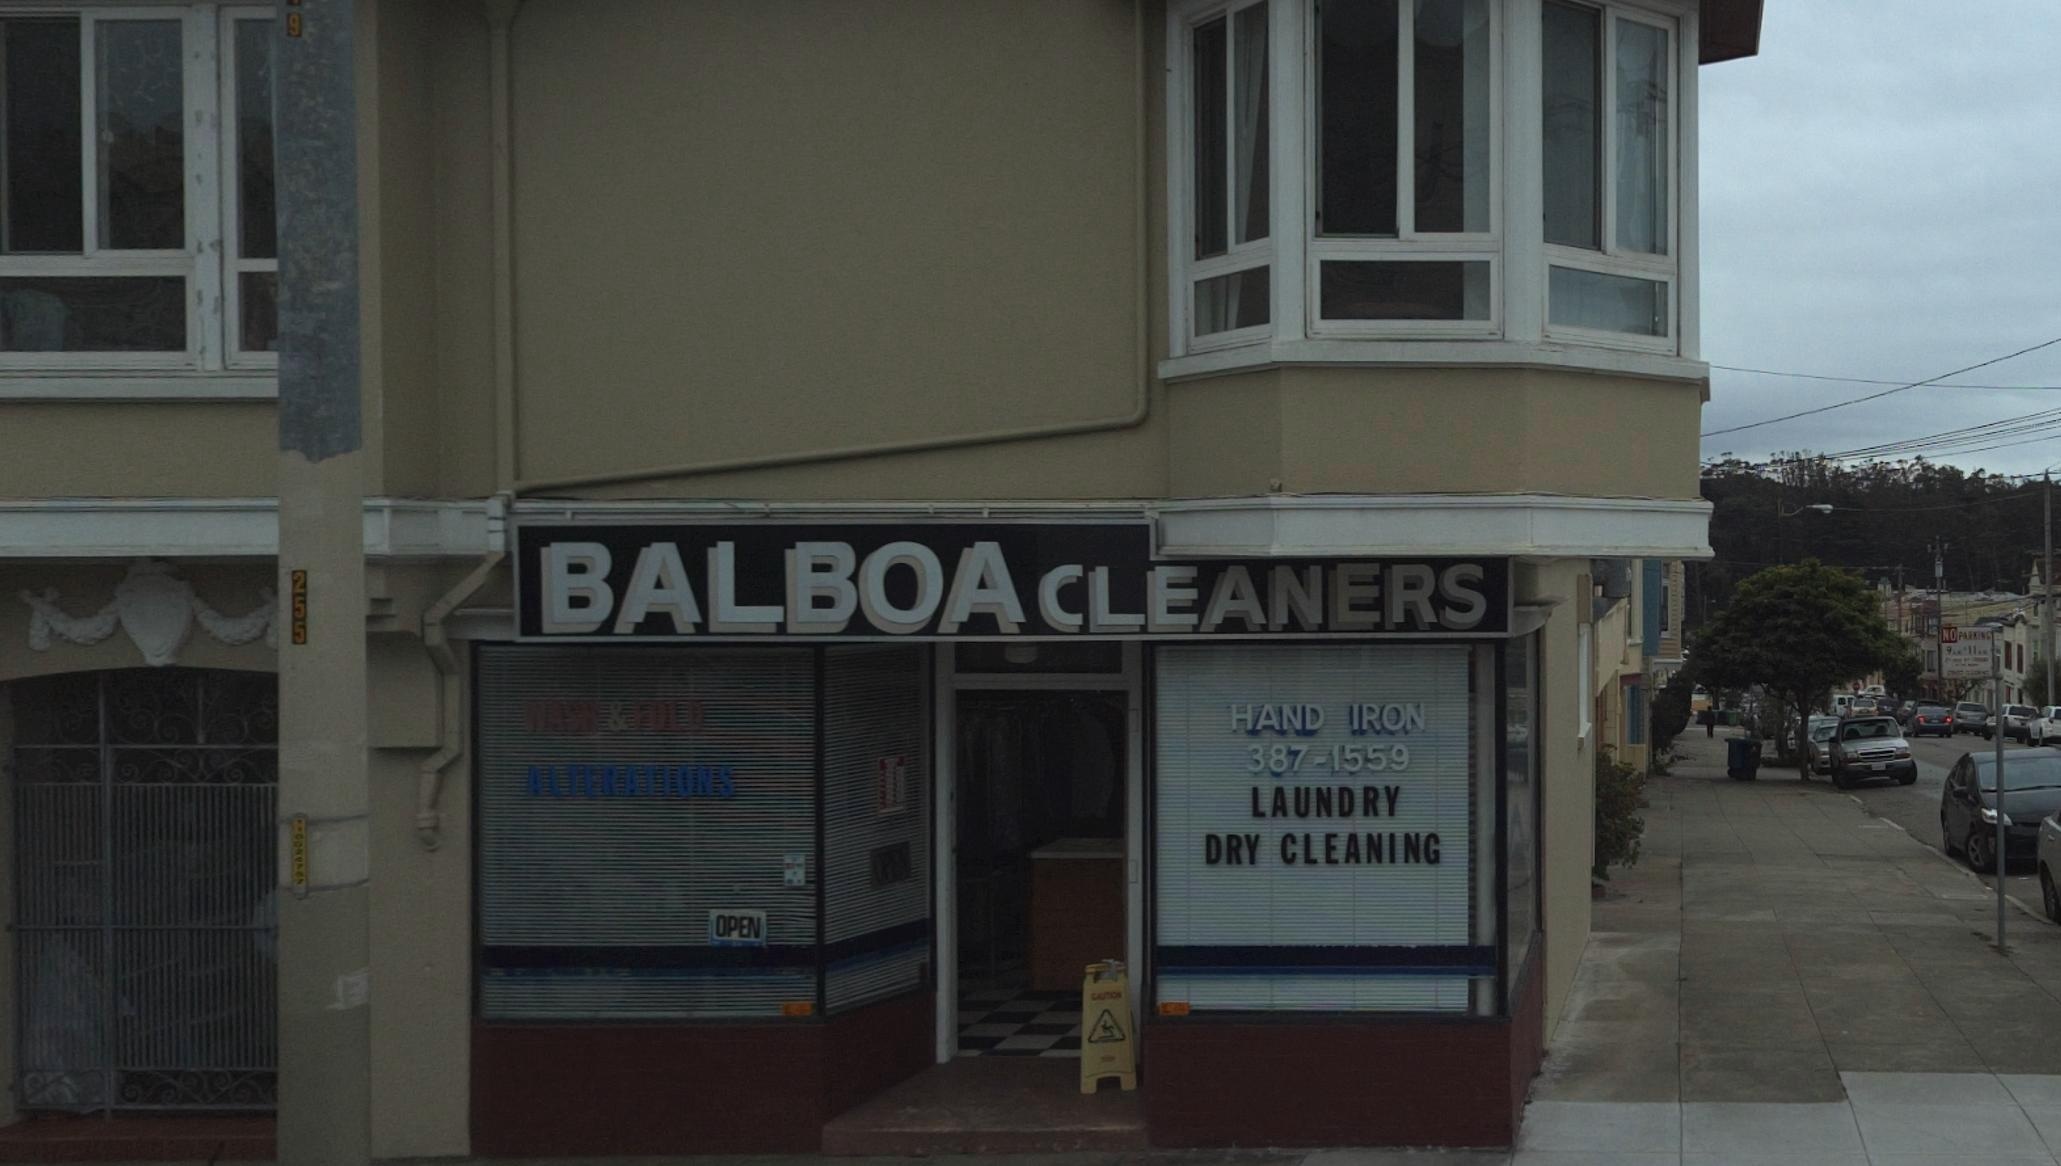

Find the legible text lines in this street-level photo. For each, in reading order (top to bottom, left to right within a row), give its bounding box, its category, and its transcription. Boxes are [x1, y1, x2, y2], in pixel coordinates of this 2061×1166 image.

[286, 10, 302, 39] None: 9
[546, 537, 1491, 629] BusinessName: BALBOA CLEANERS
[291, 568, 308, 646] None: 255
[1944, 643, 1954, 655] None: 9
[1941, 626, 1969, 643] None: NO PA
[1966, 643, 1978, 657] None: 11
[520, 696, 706, 737] None: *ASH & *OLD
[1228, 698, 1430, 737] None: HAND IRON
[1244, 740, 1412, 776] None: 387-1559
[523, 762, 739, 801] None: ALTERATIONS
[1248, 783, 1403, 821] None: LAUNDRY
[291, 816, 307, 888] None: *10***7*7
[1202, 829, 1445, 868] None: DRY CLEANING
[713, 912, 763, 941] None: OPEN